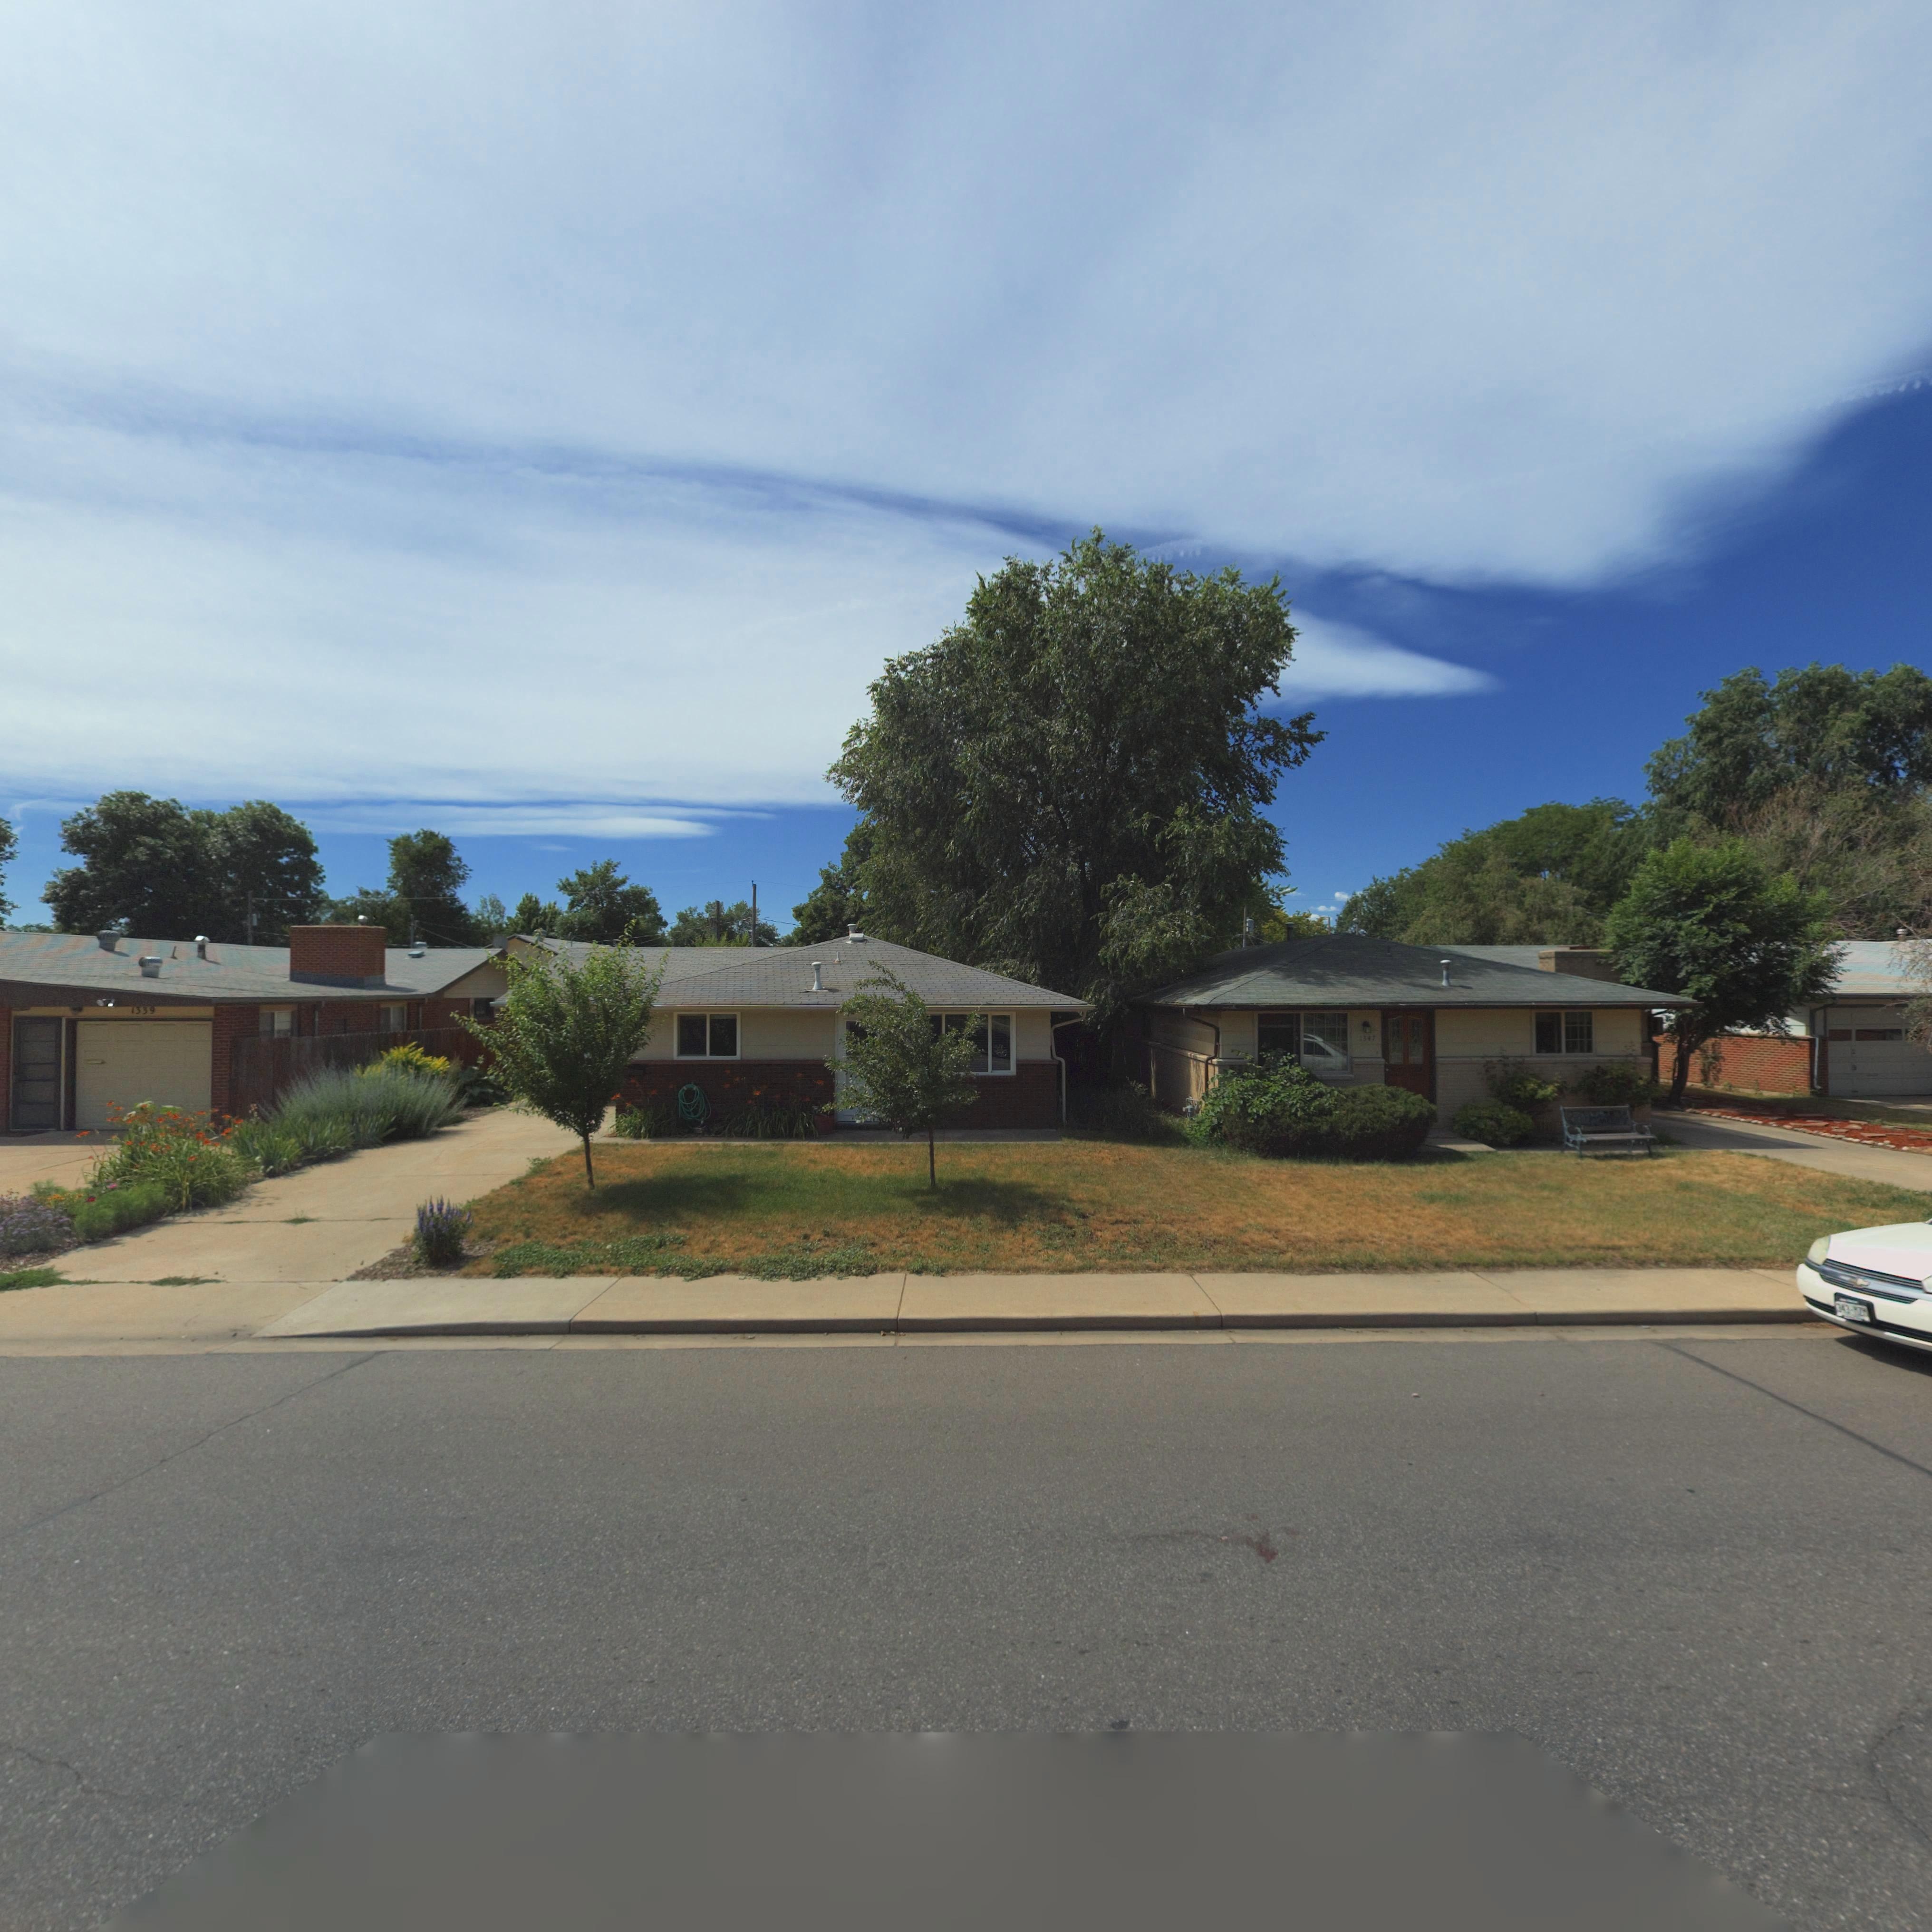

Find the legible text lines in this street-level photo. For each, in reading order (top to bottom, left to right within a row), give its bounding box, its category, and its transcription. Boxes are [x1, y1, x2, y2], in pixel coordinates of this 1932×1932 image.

[130, 1005, 156, 1014] StreetNumber: 1339
[1359, 1034, 1377, 1042] StreetNumber: 1347